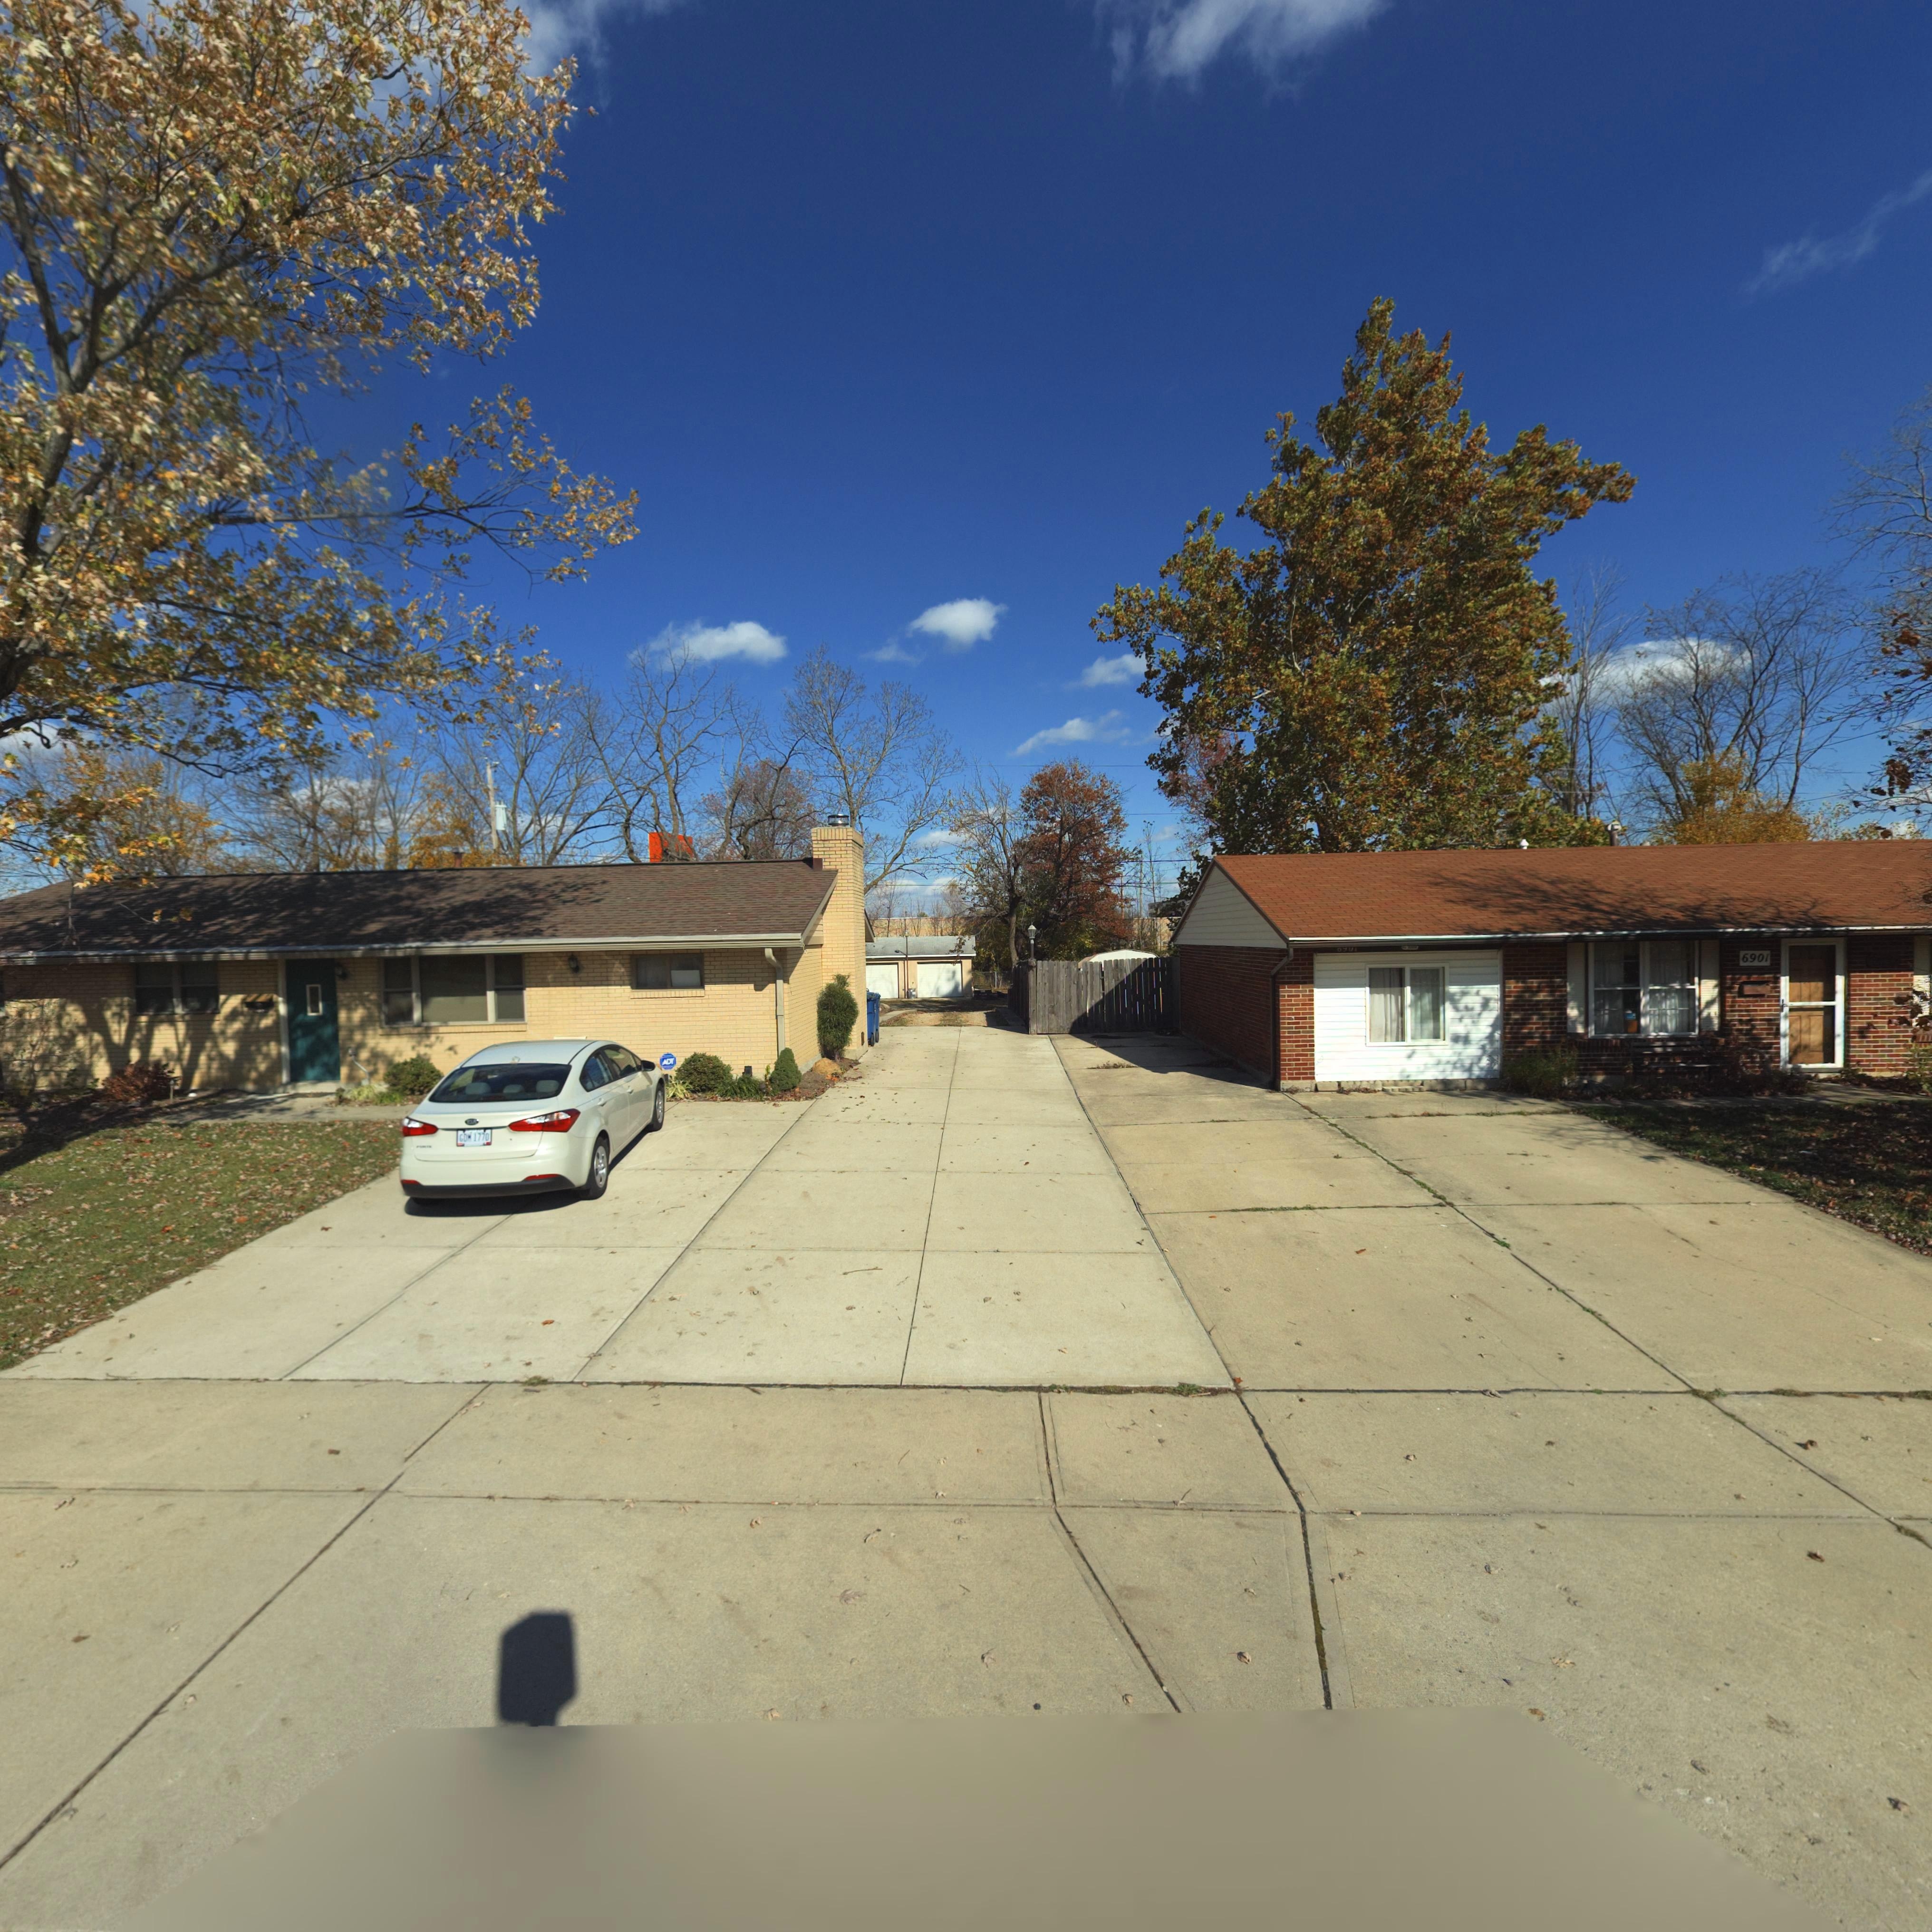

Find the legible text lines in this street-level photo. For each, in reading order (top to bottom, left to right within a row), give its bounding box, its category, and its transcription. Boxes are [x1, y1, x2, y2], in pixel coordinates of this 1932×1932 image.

[1740, 952, 1771, 964] StreetNumber: 6901